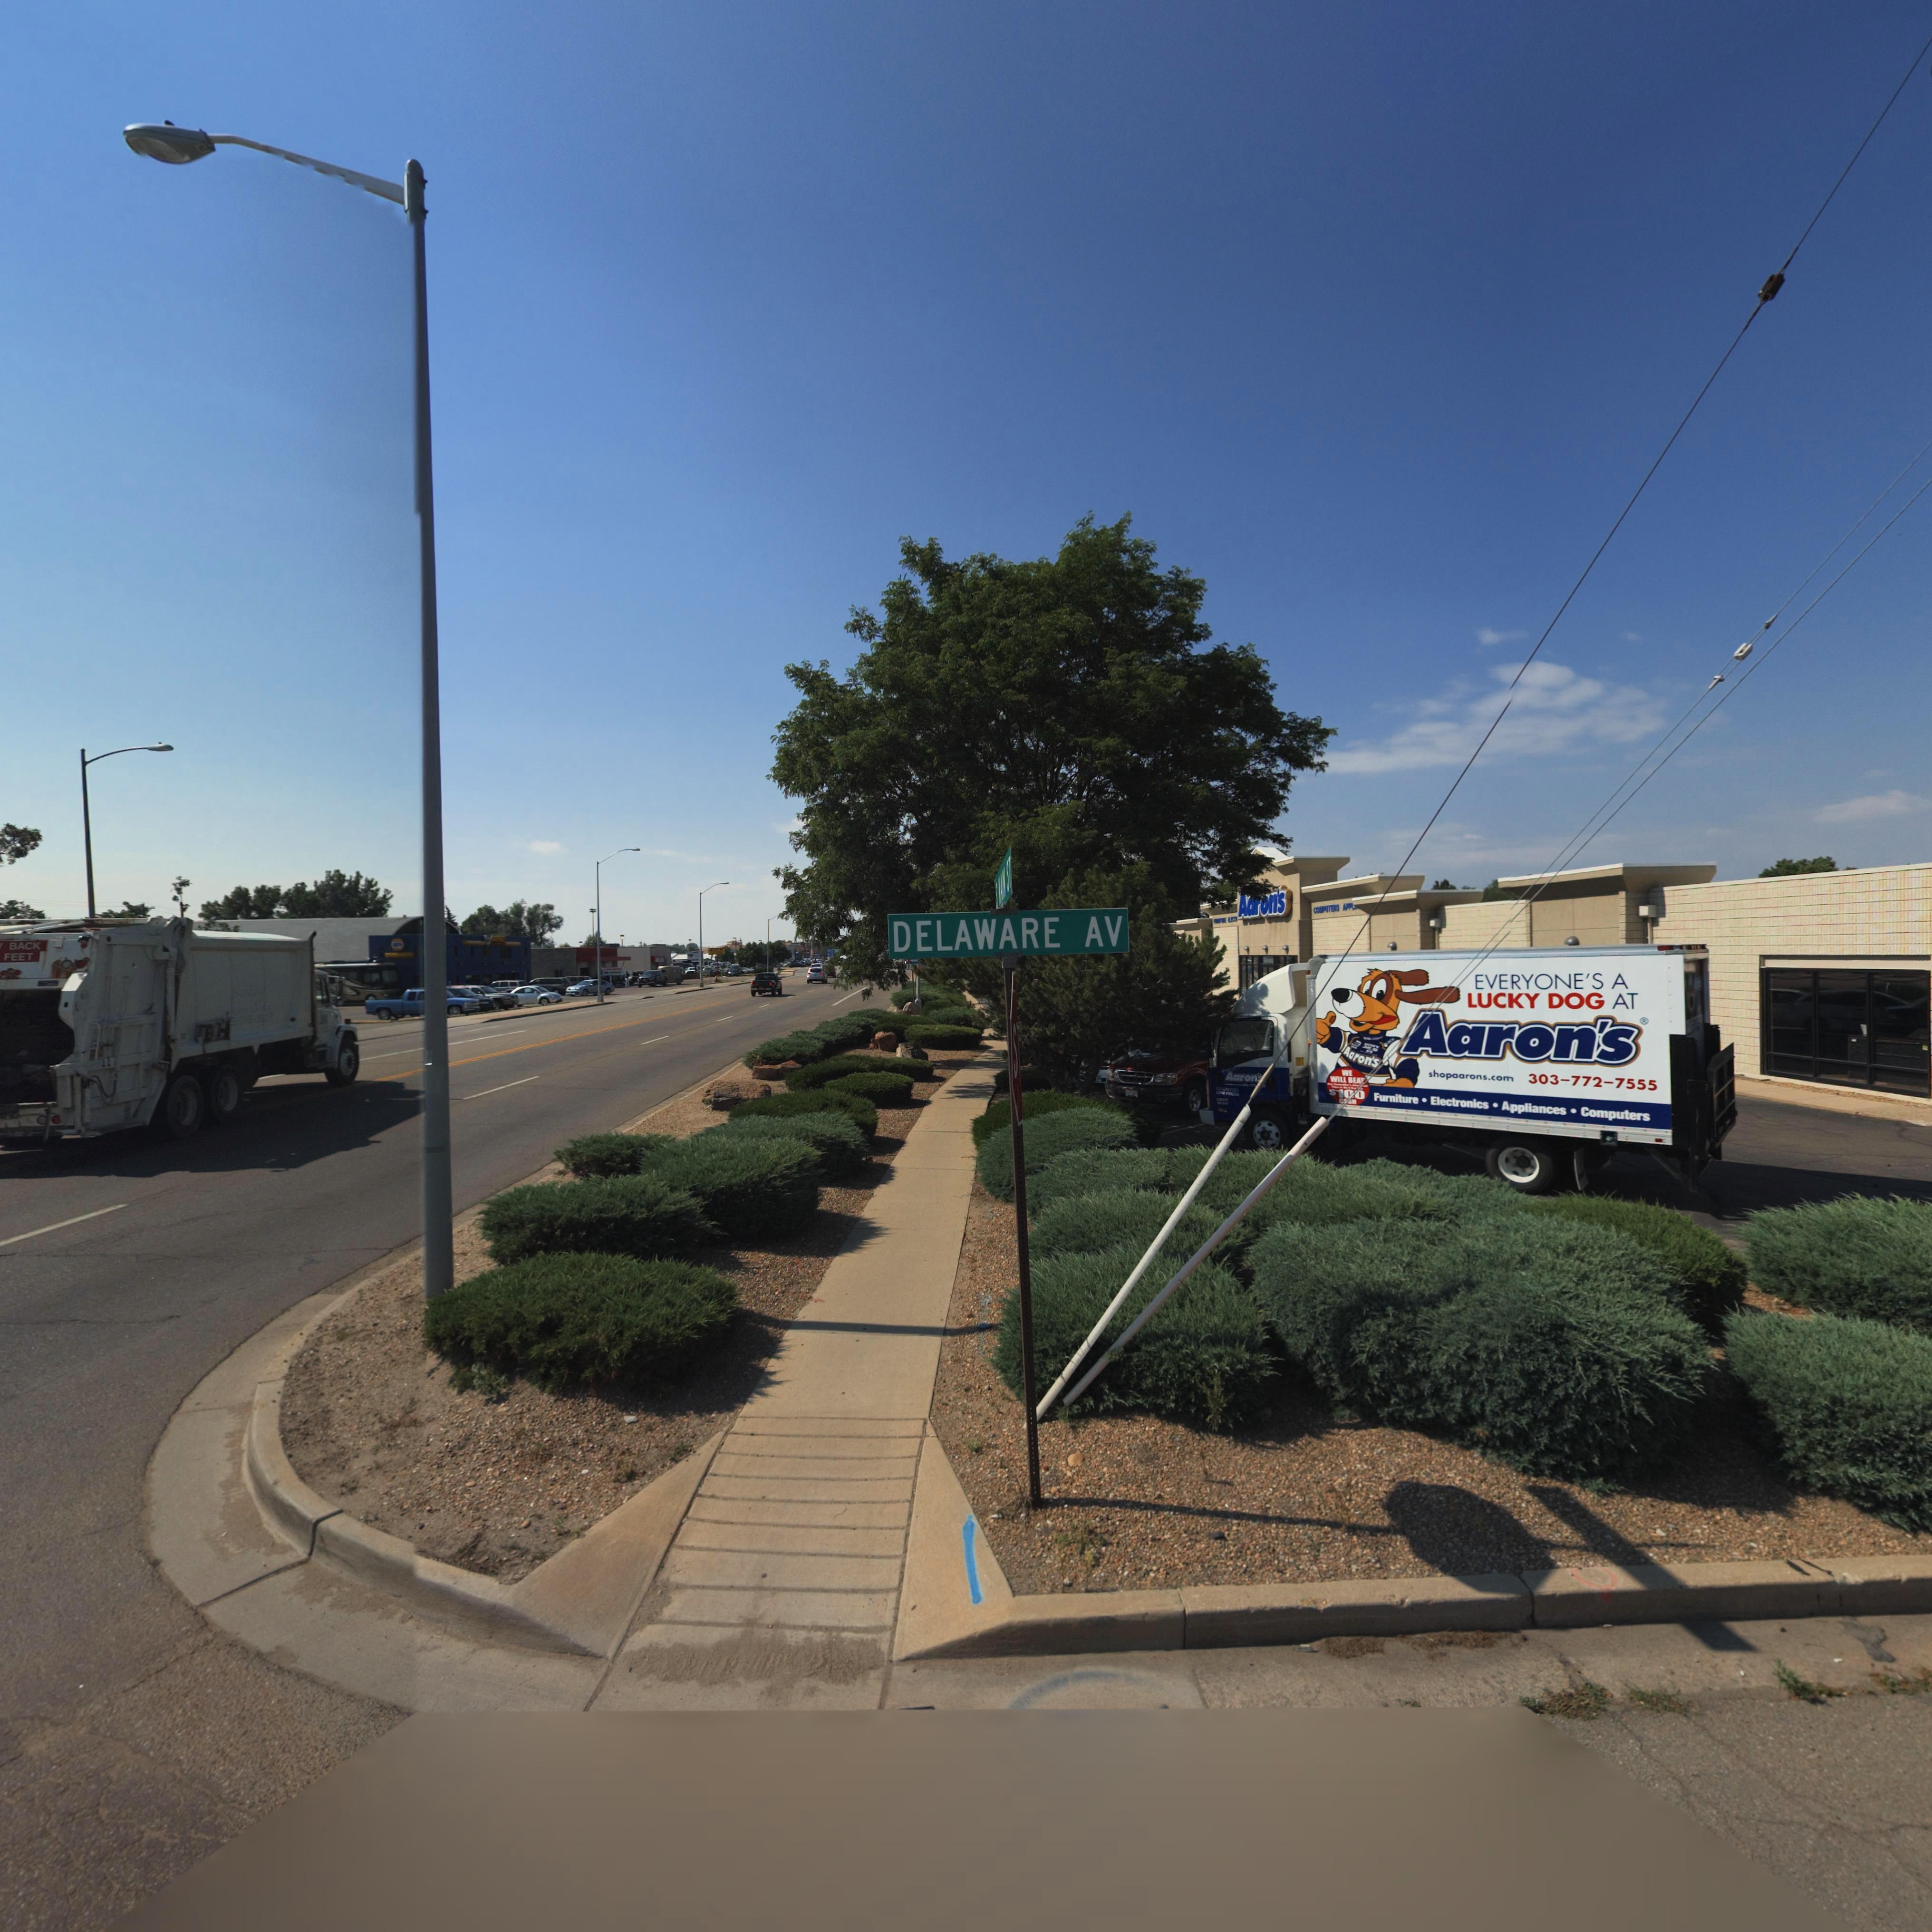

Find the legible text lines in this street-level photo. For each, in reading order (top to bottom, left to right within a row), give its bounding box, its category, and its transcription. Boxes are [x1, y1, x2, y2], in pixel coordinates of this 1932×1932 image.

[995, 854, 1011, 909] StreetName: *** ST
[1237, 889, 1287, 919] BusinessName: A***n's
[392, 941, 402, 947] BusinessName: **PA
[709, 947, 724, 951] BusinessName: ZO*
[891, 913, 1124, 953] StreetName: DELAWARE AV